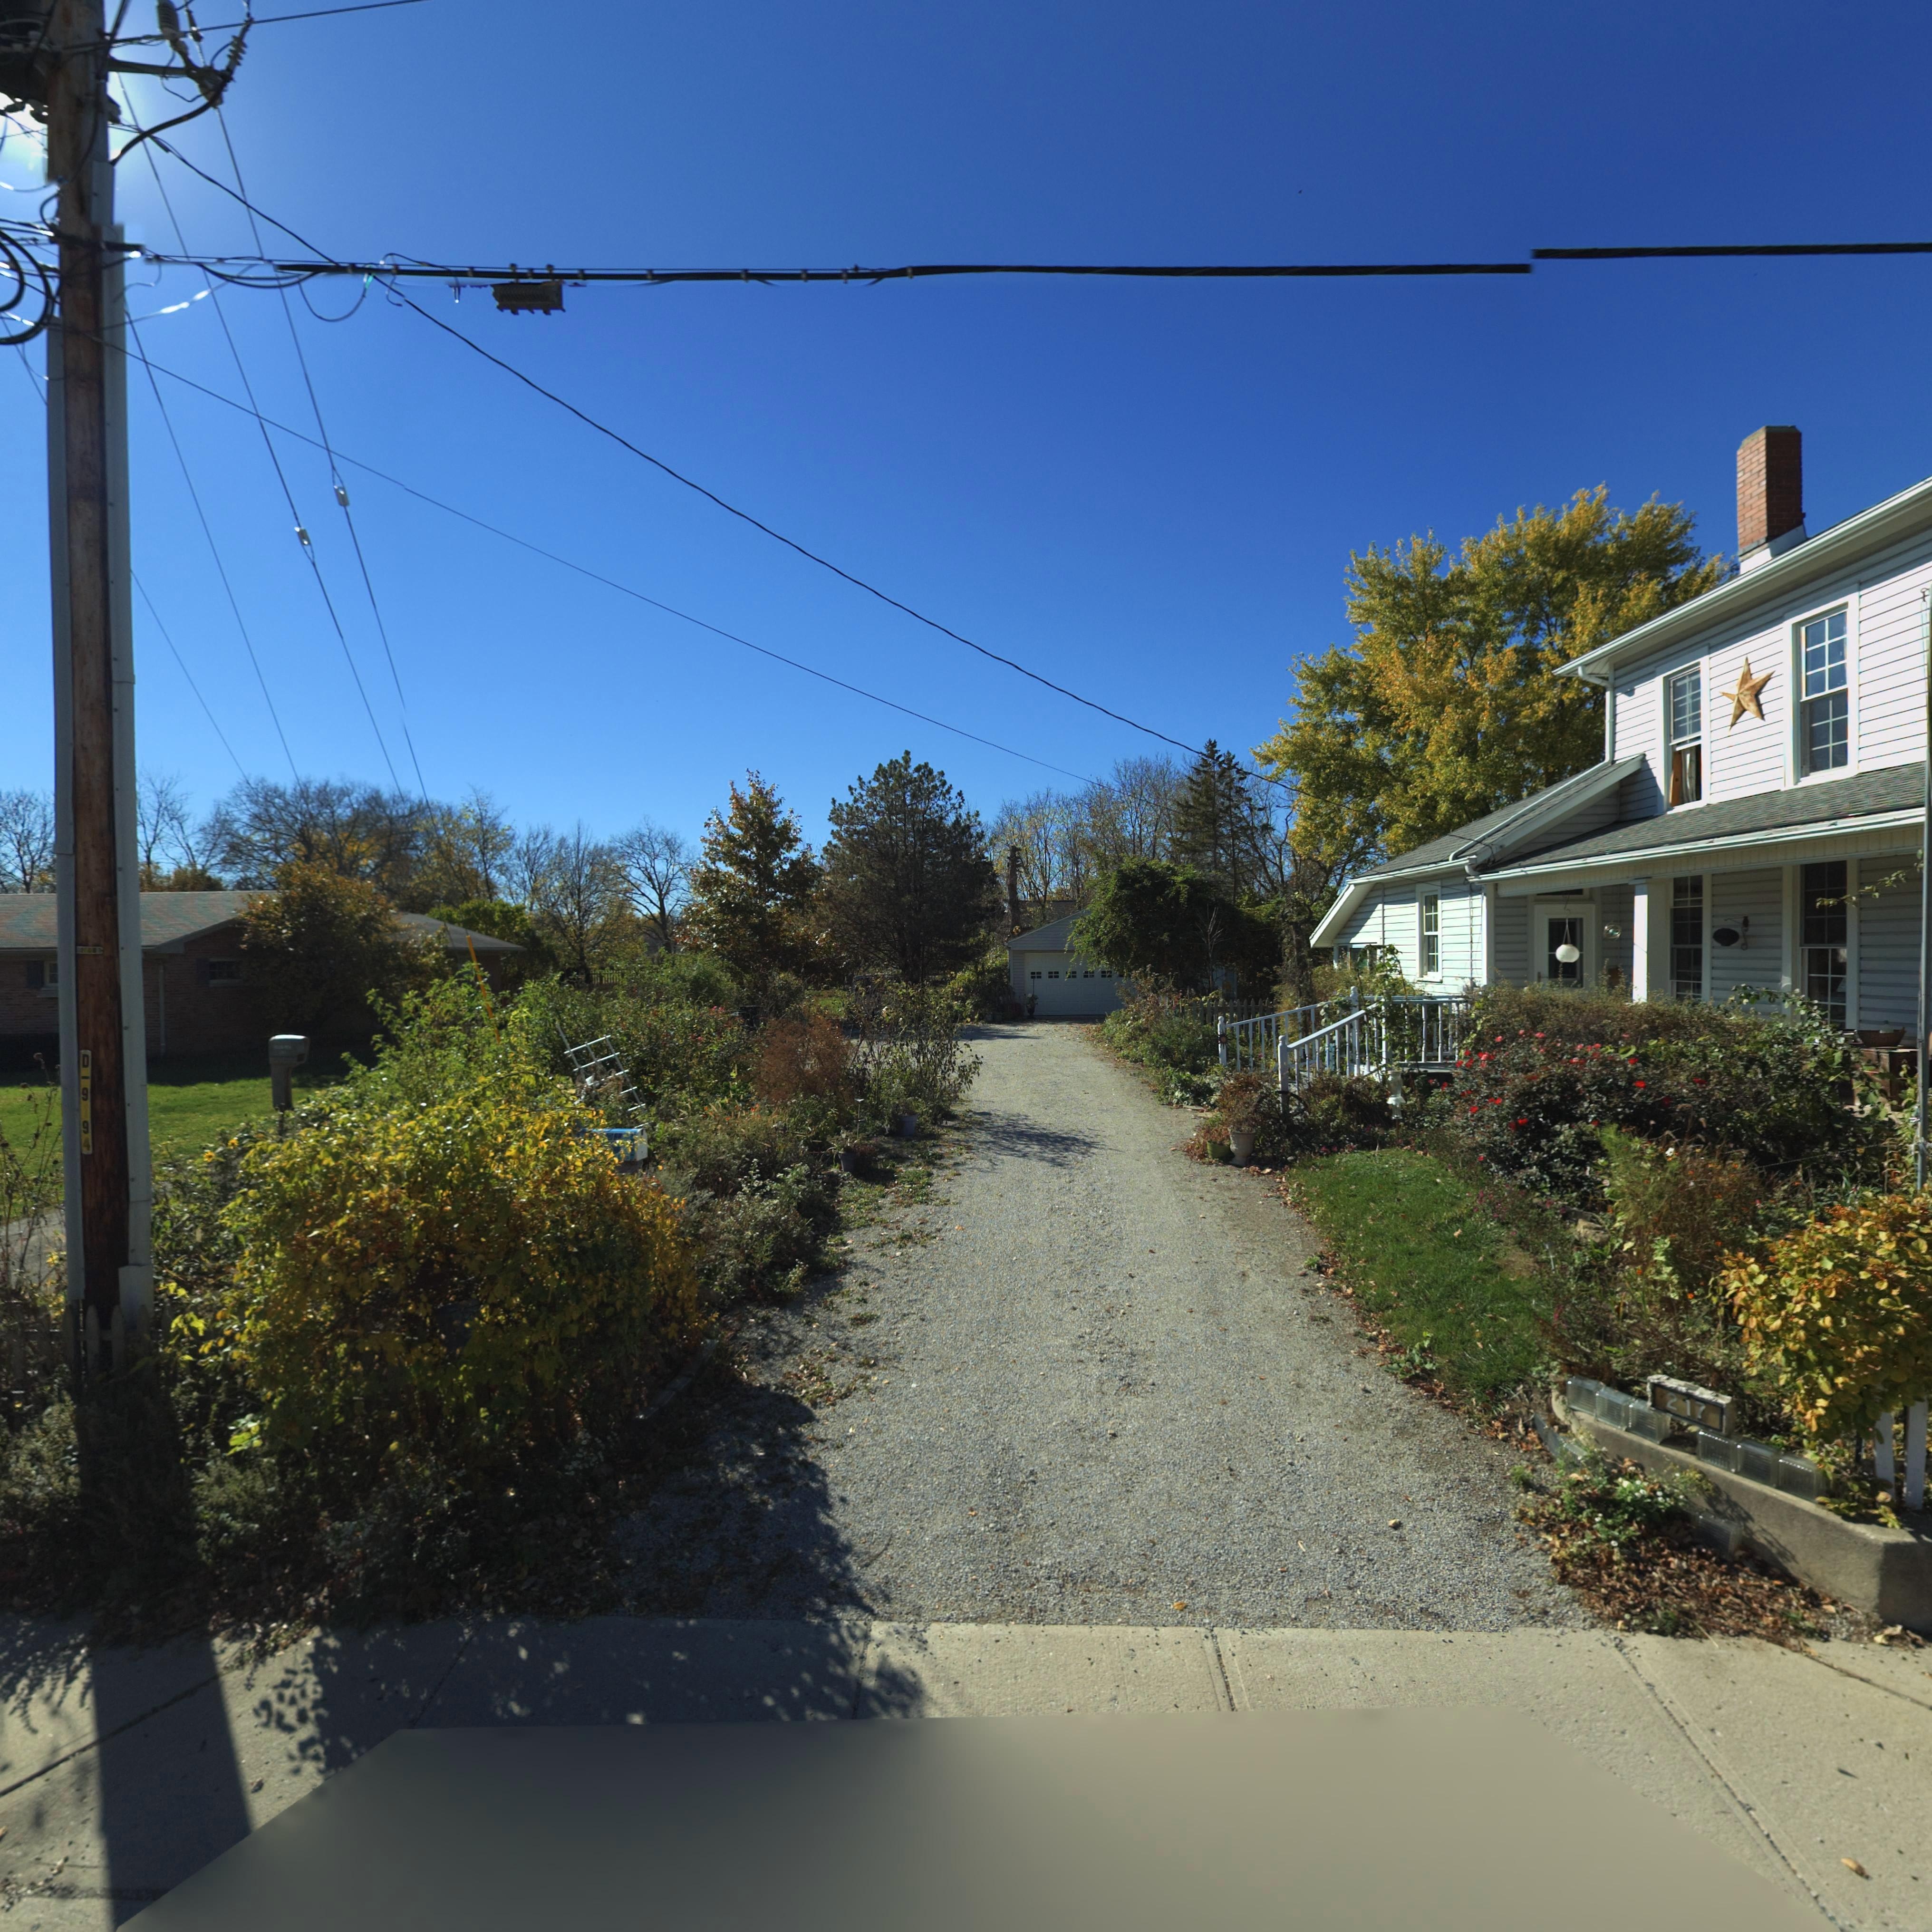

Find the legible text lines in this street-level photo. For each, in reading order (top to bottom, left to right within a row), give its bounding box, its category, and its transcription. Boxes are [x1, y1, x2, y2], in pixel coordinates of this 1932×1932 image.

[1664, 1390, 1708, 1421] StreetNumber: 217